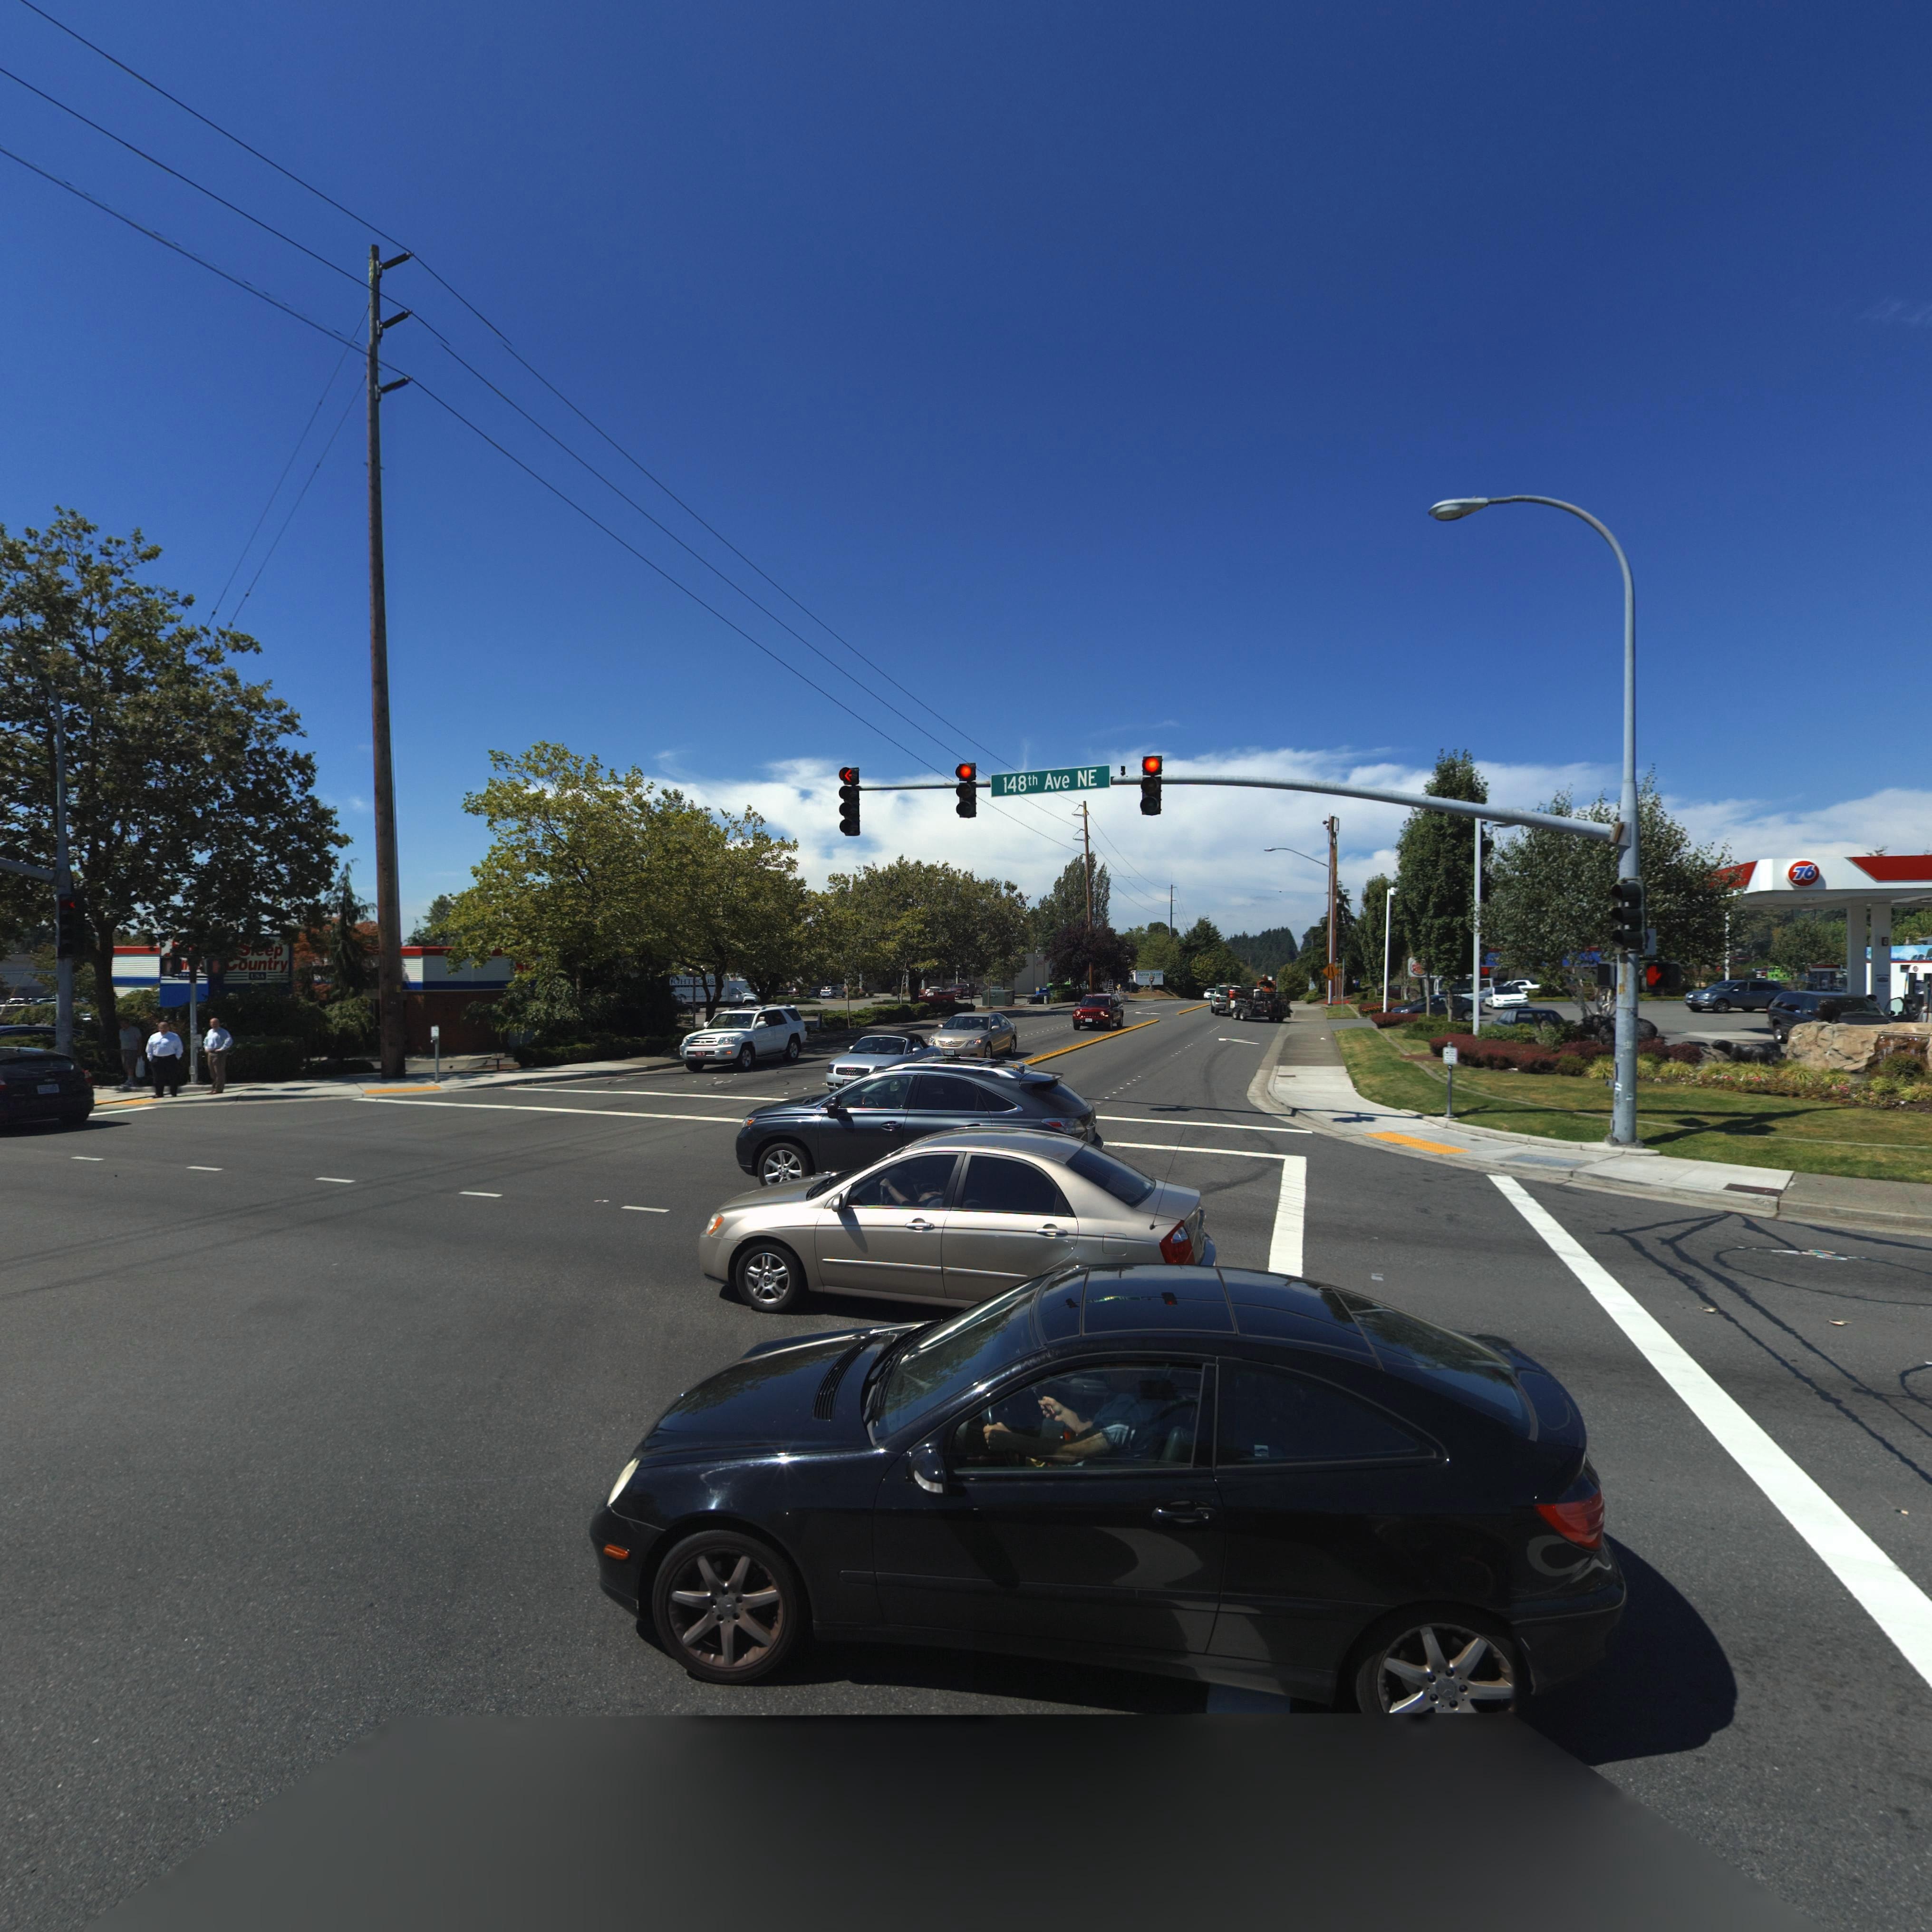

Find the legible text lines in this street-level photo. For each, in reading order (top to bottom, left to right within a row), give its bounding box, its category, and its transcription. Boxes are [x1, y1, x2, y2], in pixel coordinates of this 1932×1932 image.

[1001, 769, 1097, 794] StreetName: 148th Ave NE
[1792, 865, 1817, 880] BusinessName: 76